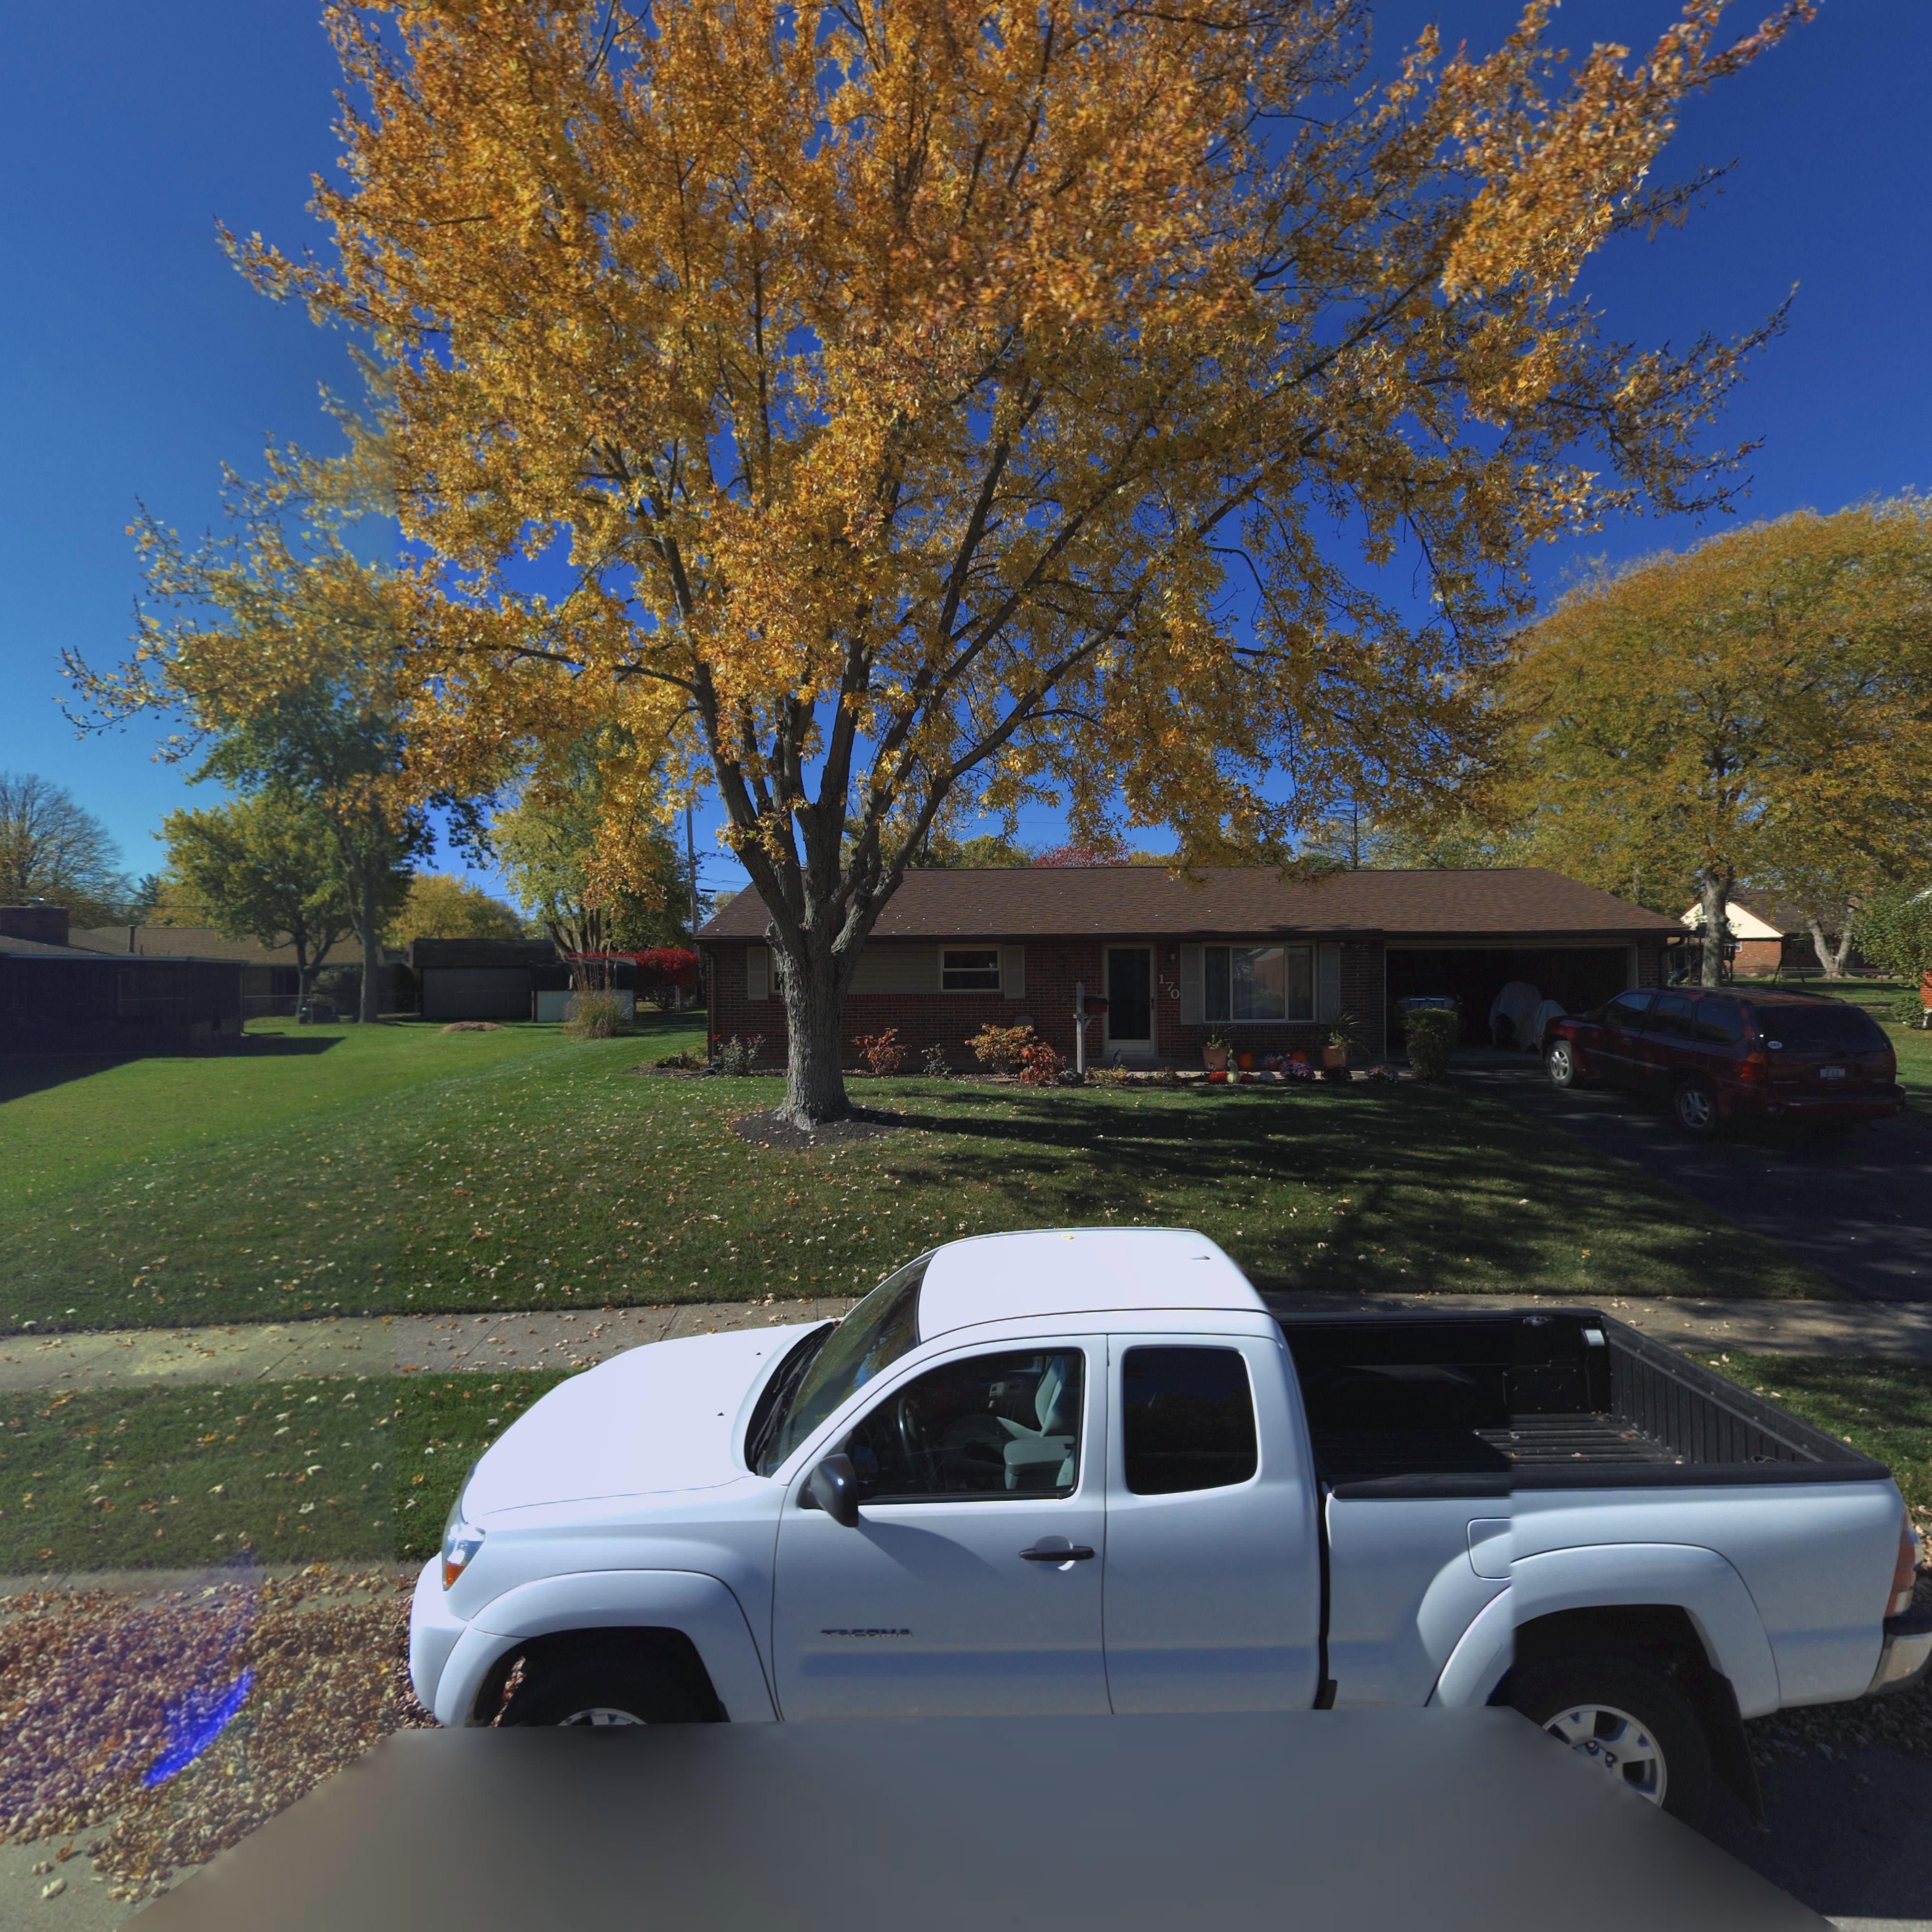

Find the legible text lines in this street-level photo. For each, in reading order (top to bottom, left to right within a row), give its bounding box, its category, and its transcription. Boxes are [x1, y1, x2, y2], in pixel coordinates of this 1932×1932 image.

[1158, 973, 1181, 1000] StreetNumber: 170